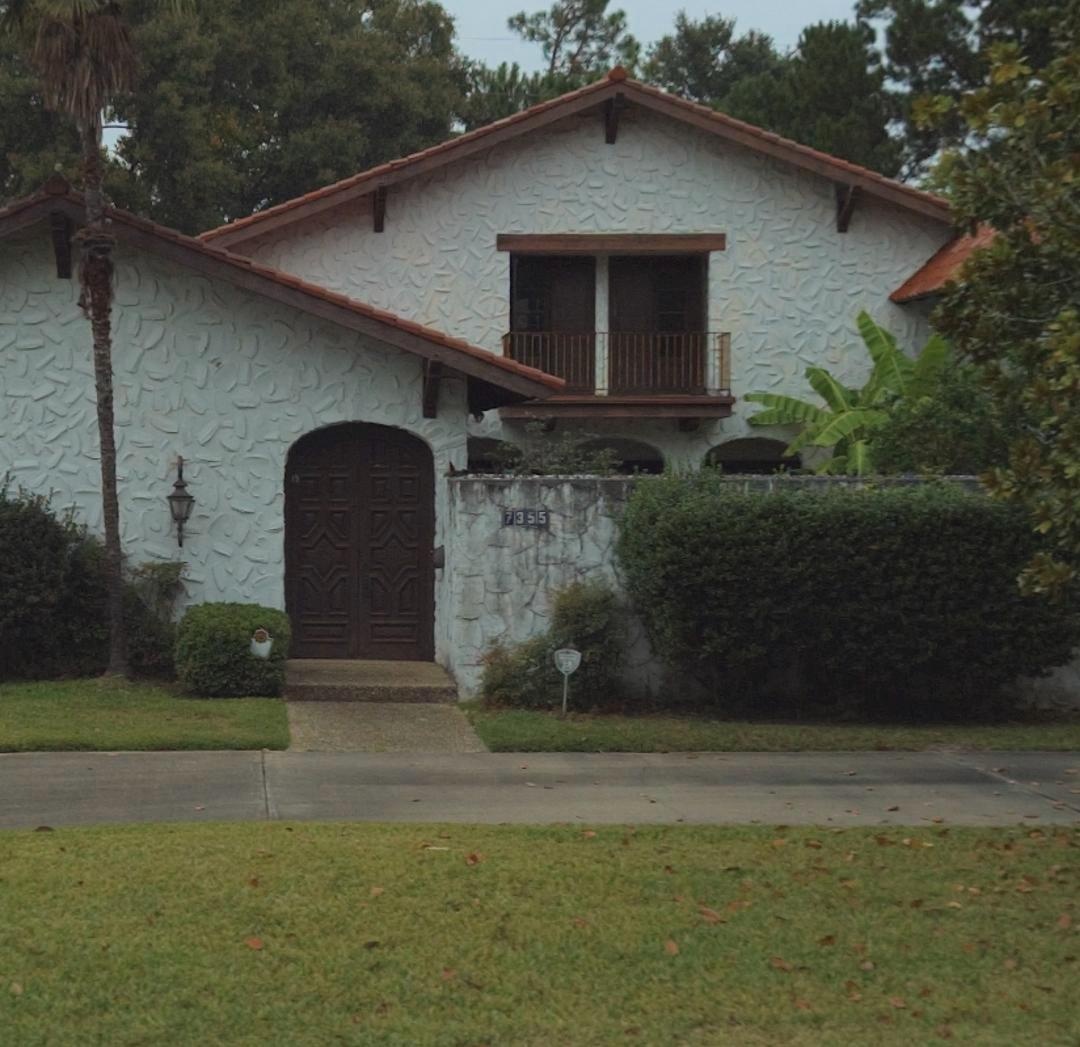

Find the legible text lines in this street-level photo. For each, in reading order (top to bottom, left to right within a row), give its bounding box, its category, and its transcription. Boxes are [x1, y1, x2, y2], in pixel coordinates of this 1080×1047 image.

[503, 510, 547, 525] StreetNumber: 7355